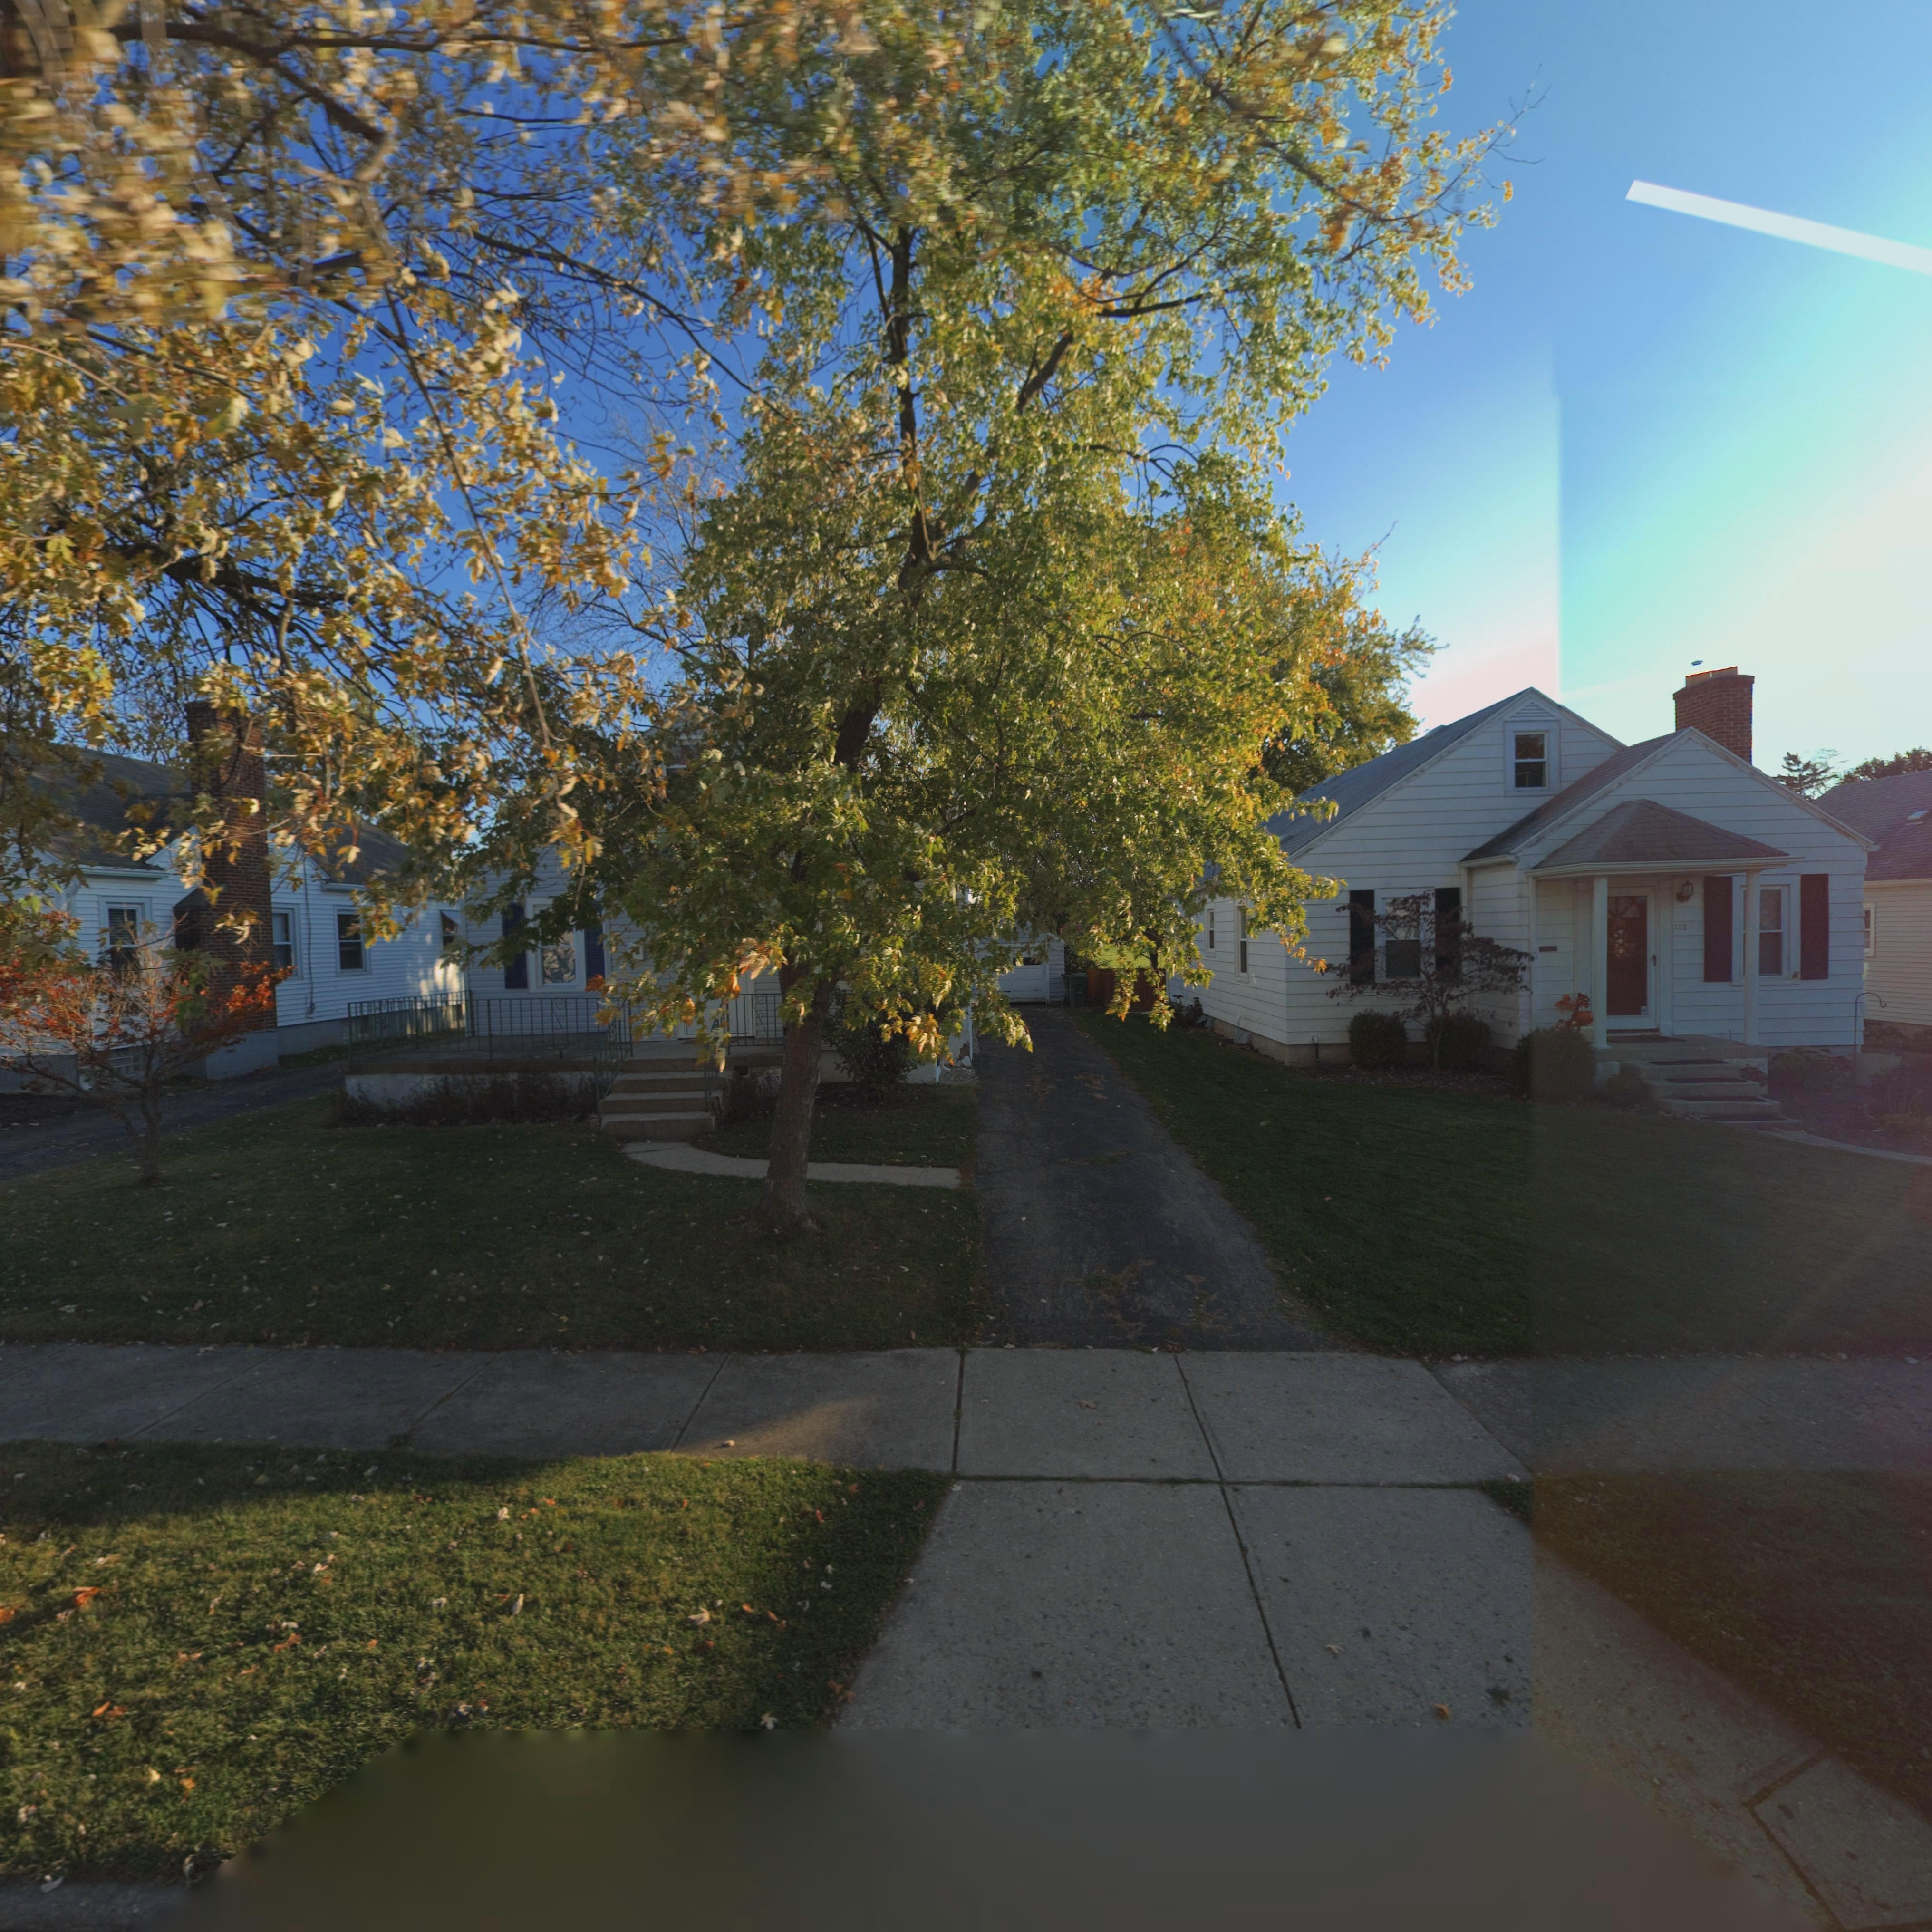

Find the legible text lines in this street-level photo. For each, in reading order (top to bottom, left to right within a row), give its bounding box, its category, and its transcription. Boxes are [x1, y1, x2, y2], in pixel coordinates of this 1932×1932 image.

[1674, 923, 1687, 931] StreetNumber: 112